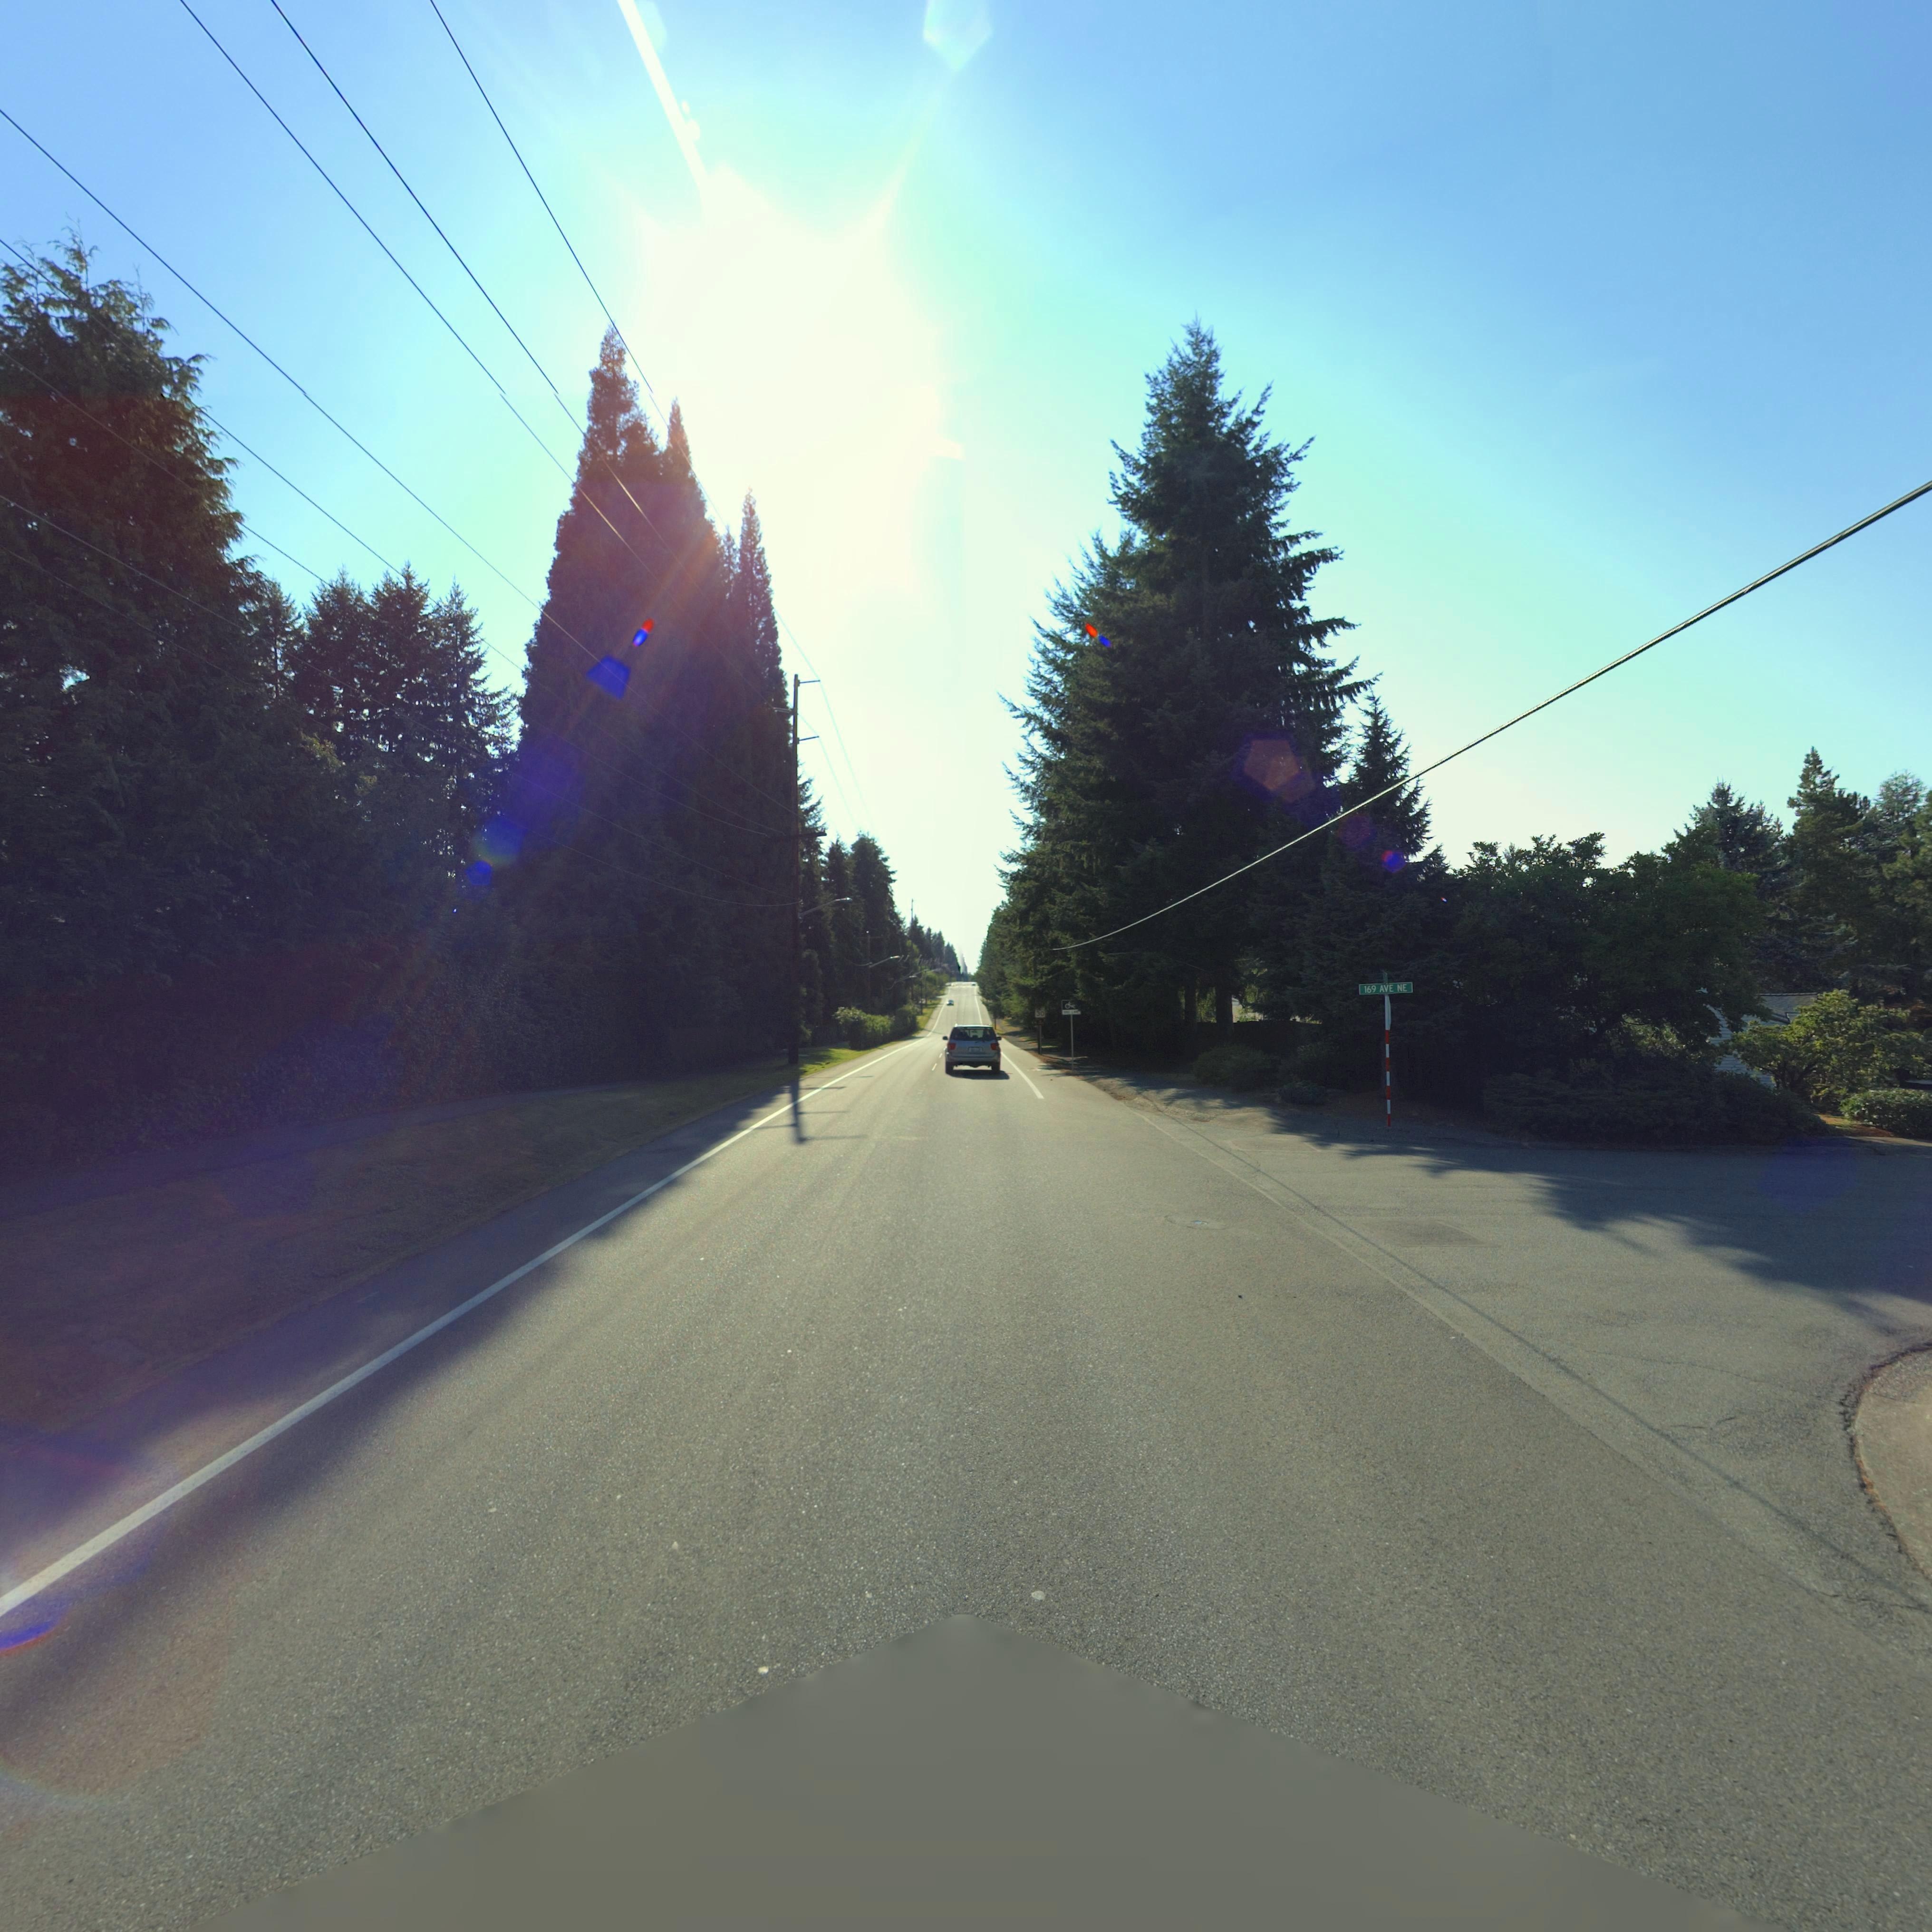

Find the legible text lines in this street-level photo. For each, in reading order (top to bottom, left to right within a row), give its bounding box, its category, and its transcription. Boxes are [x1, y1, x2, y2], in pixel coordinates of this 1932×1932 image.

[1364, 984, 1407, 993] StreetName: 169 AVE NE